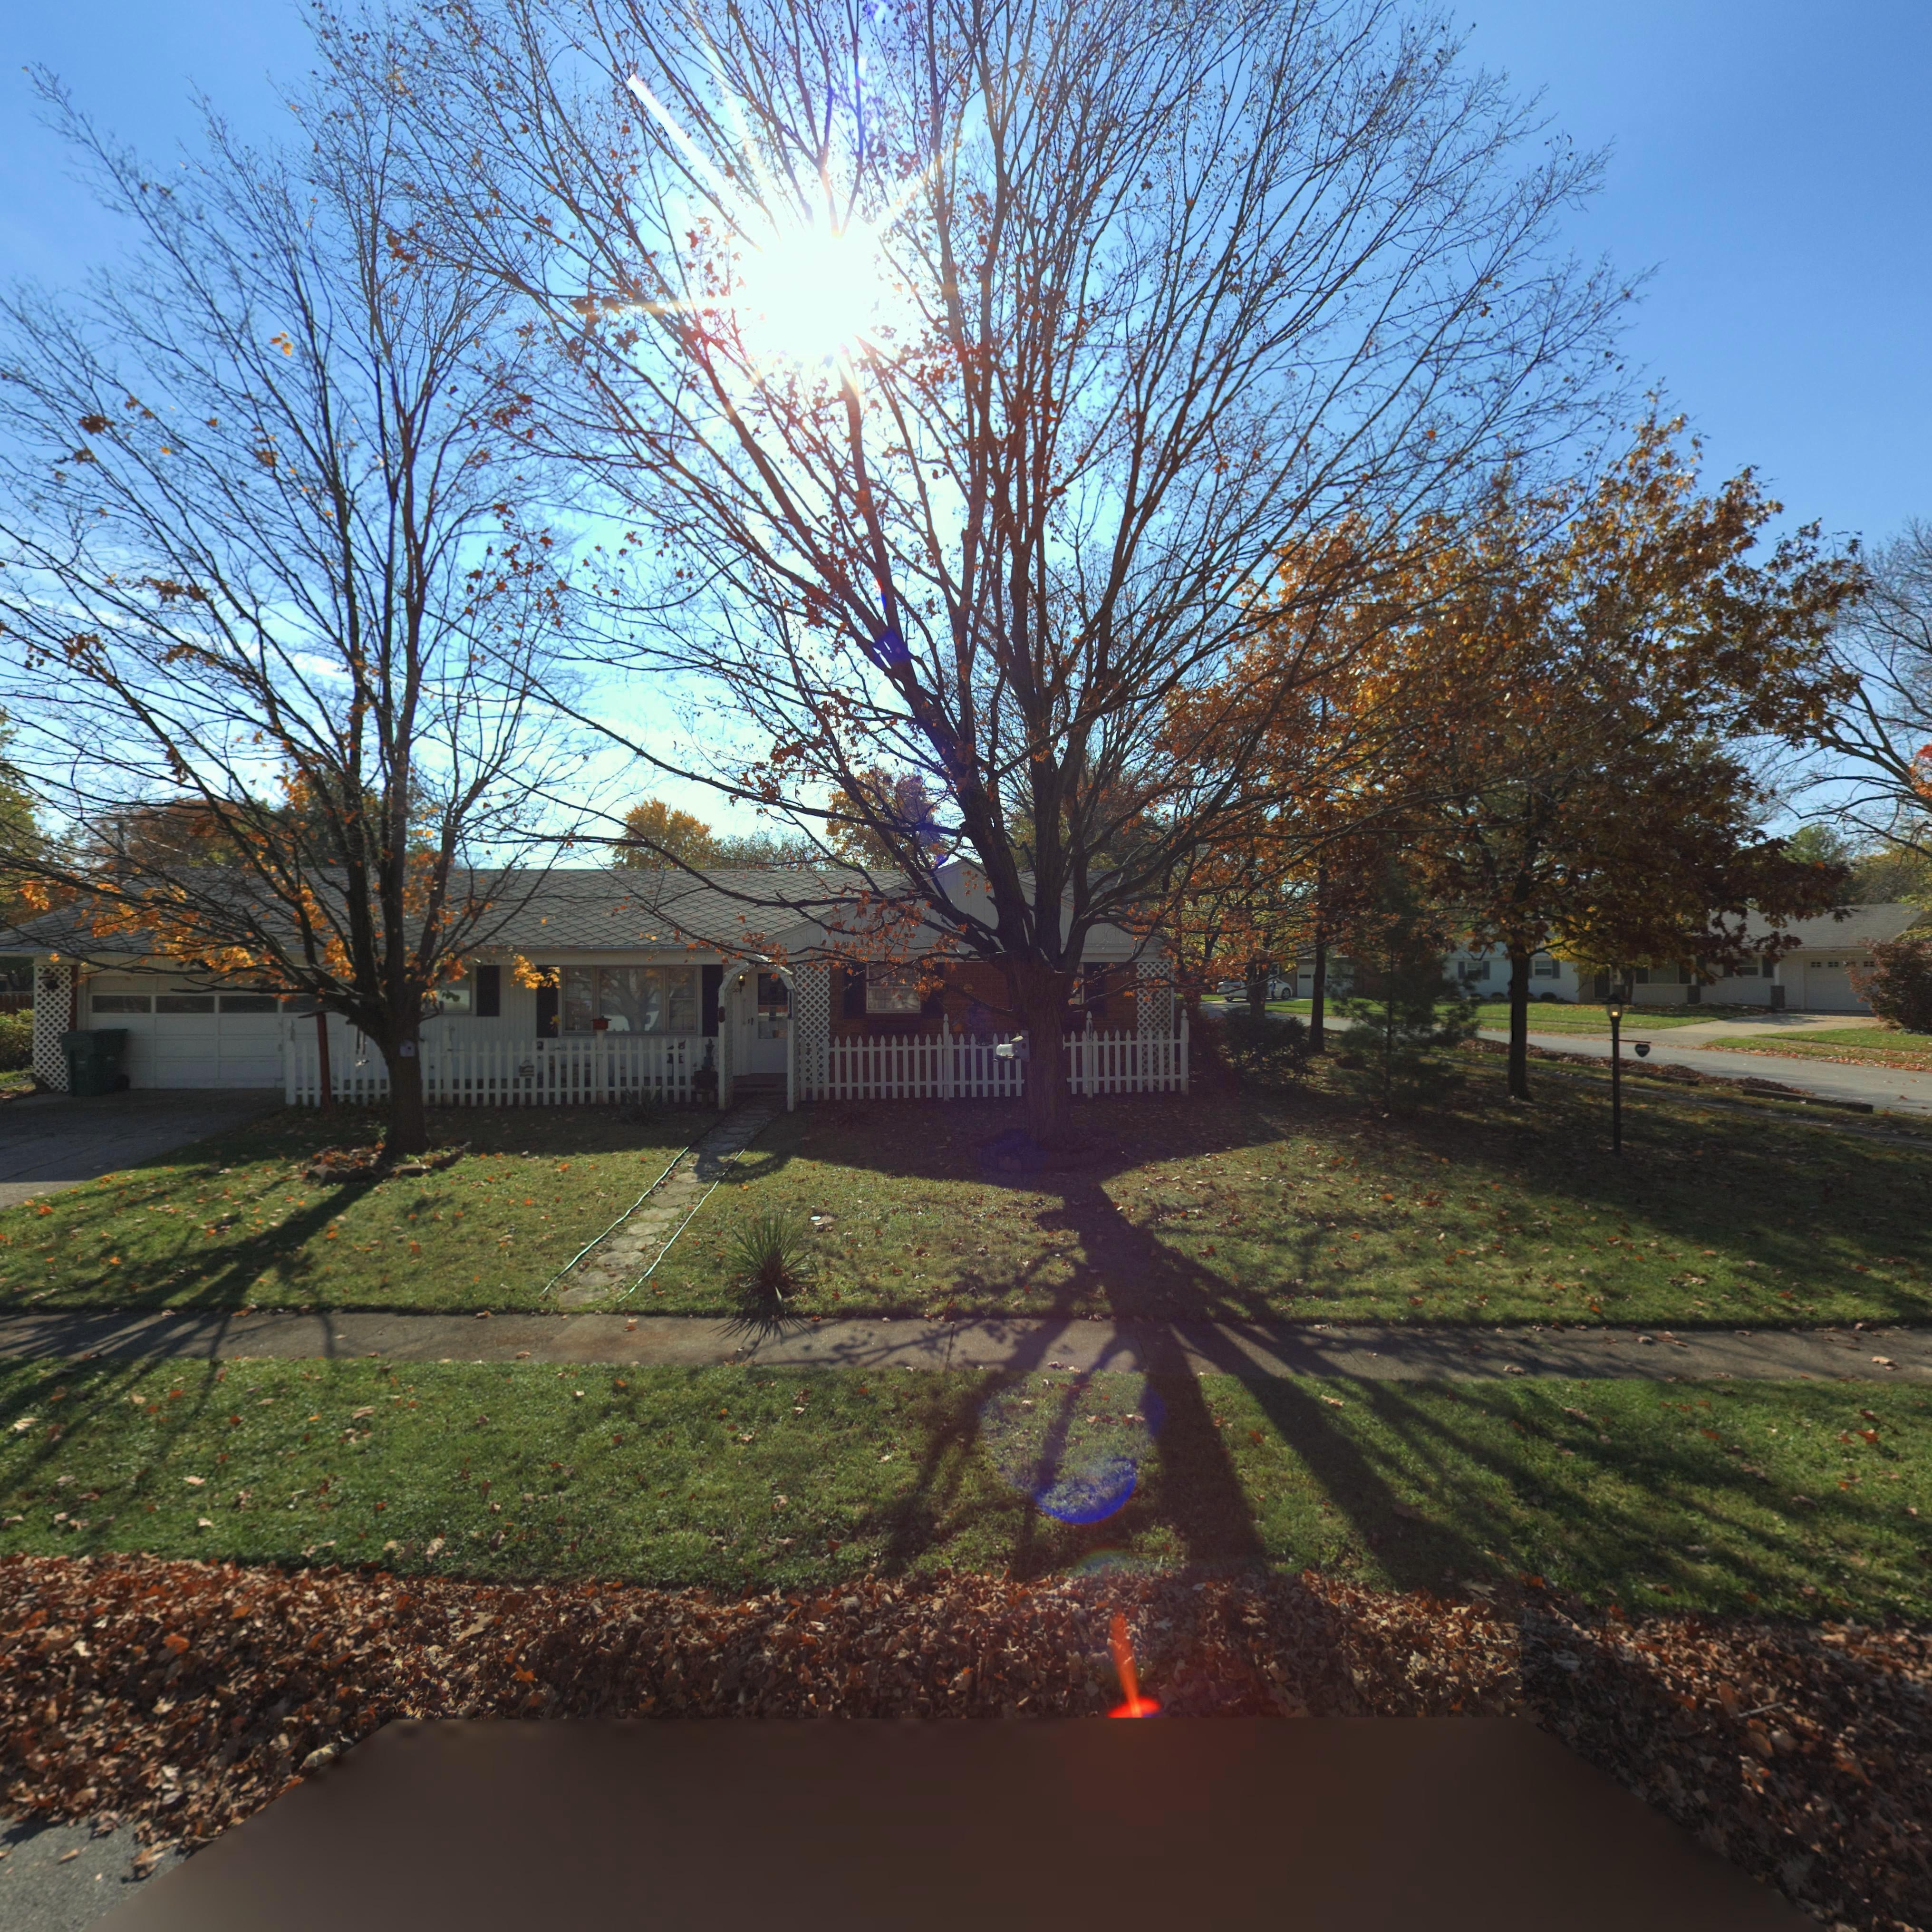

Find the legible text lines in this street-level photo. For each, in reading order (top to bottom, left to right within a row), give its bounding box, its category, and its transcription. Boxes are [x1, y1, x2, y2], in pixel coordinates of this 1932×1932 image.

[733, 988, 739, 993] StreetNumber: 20